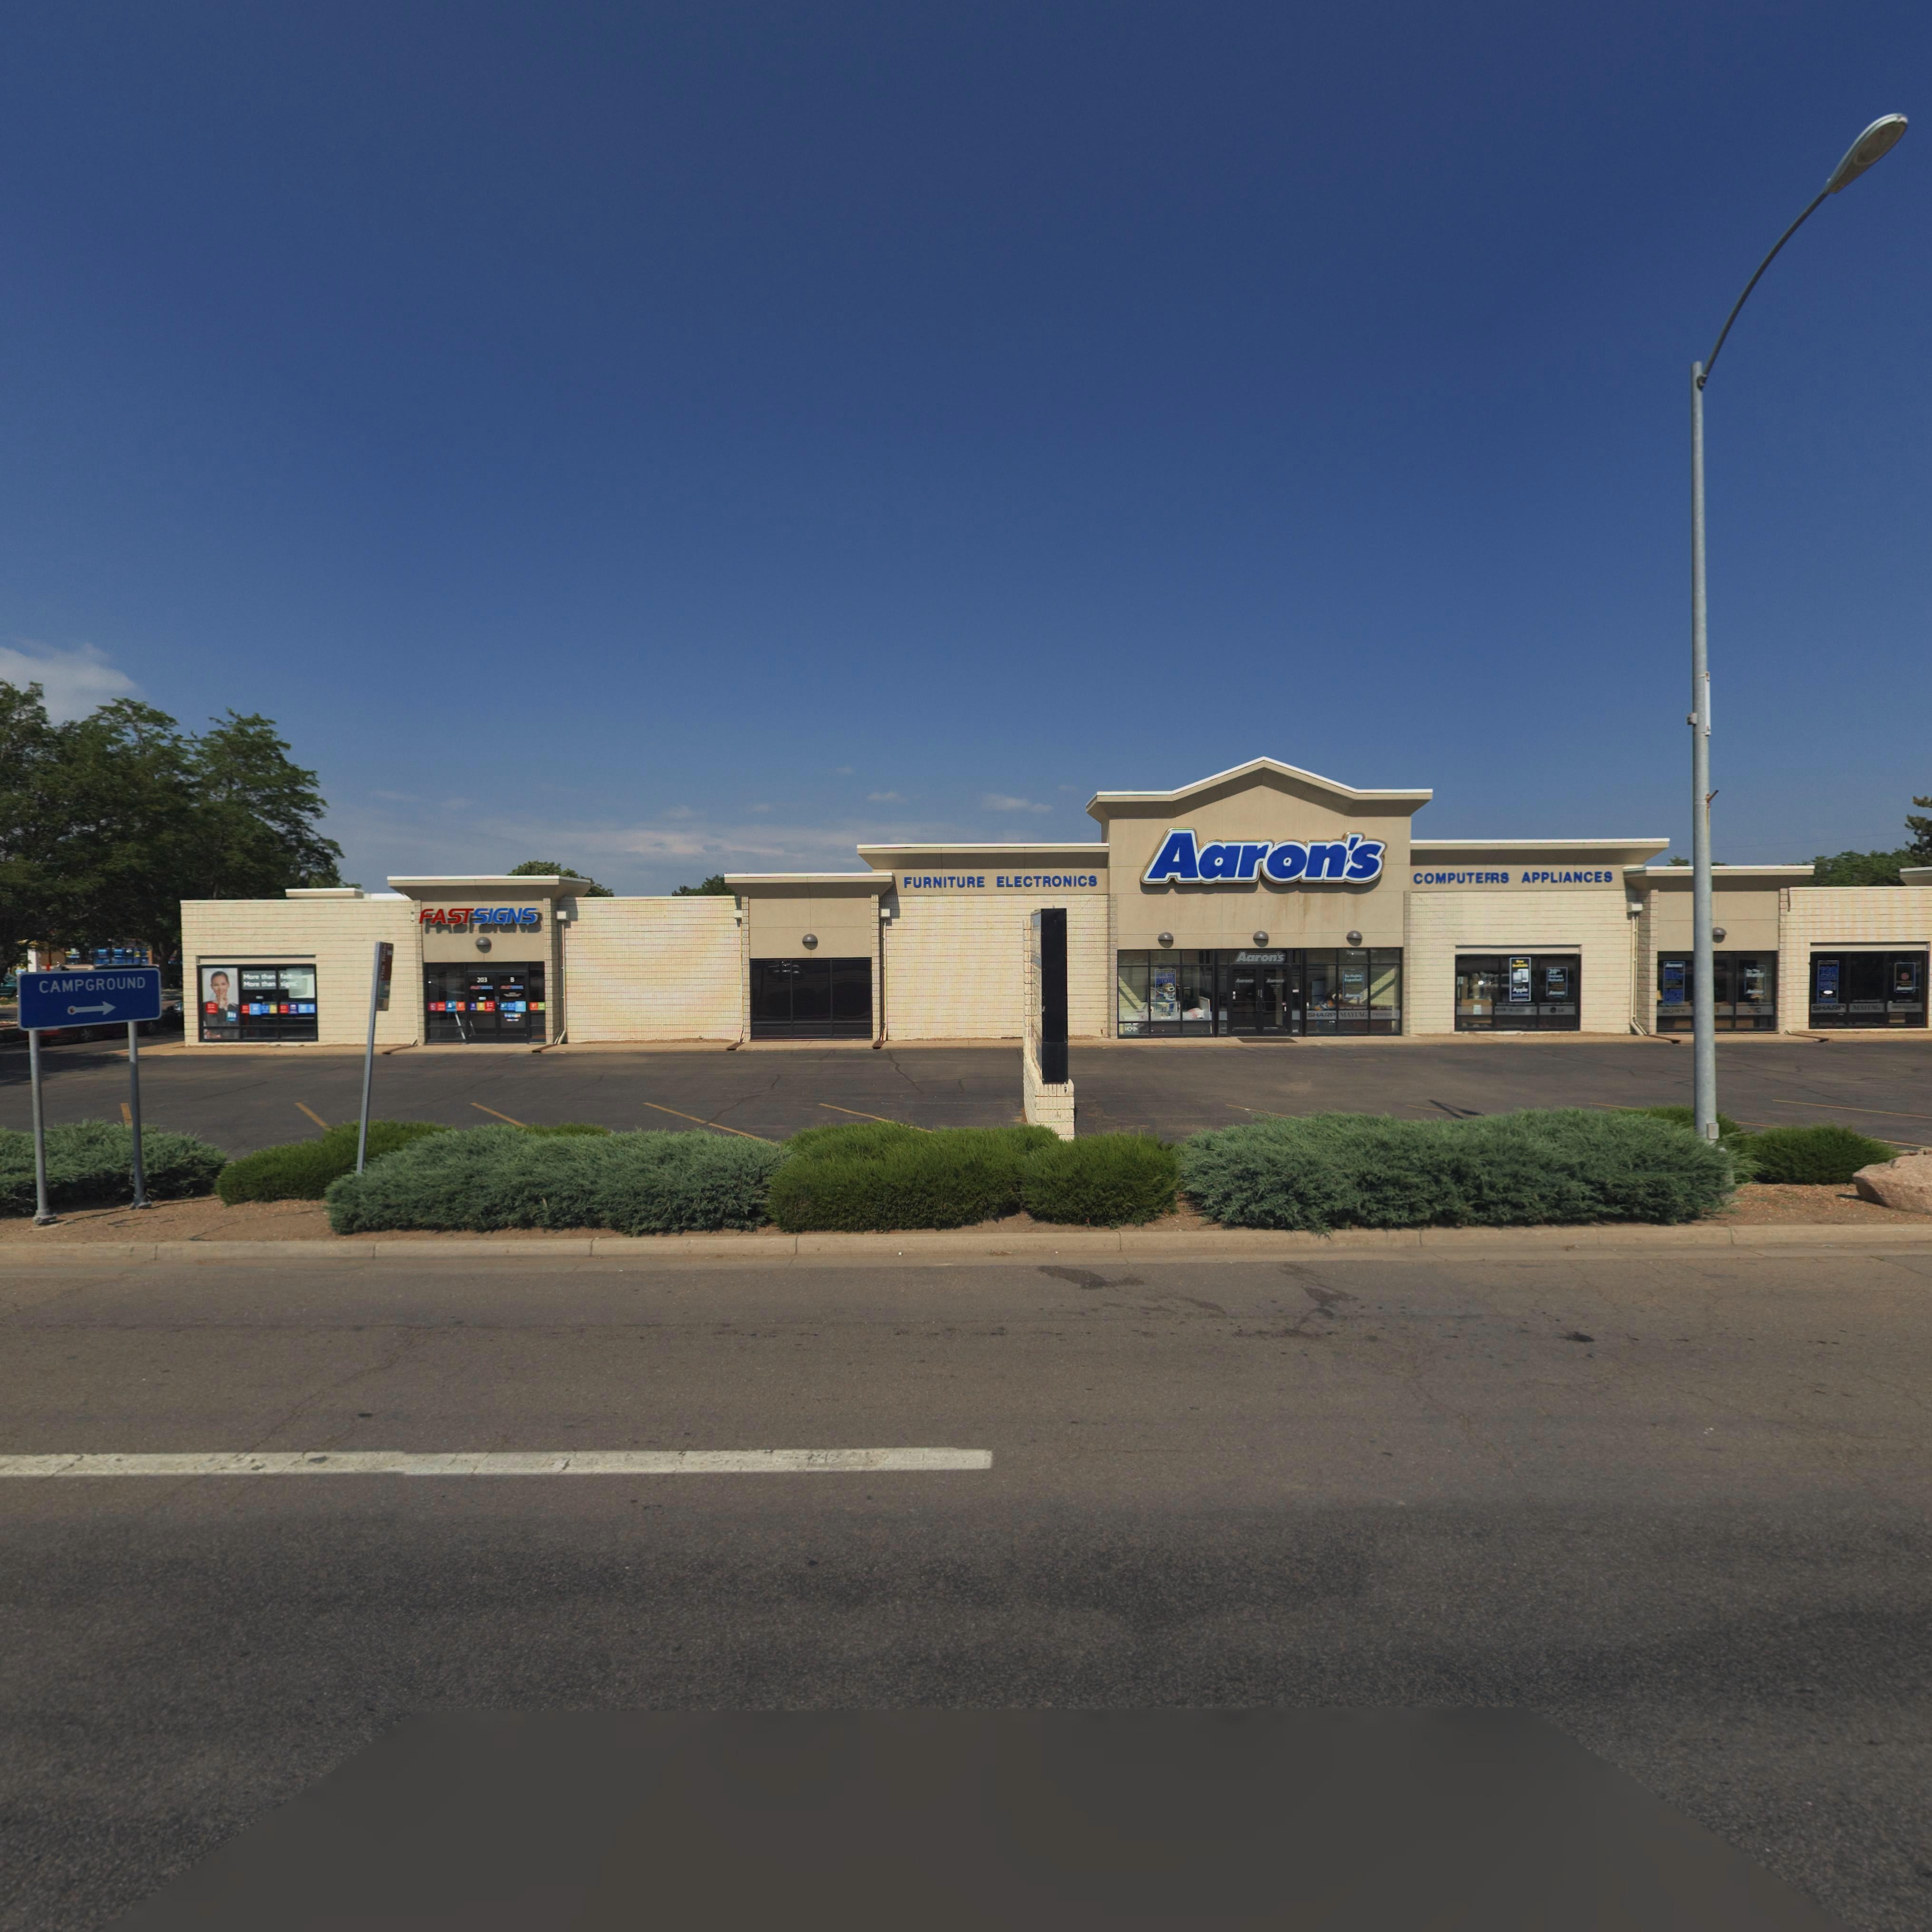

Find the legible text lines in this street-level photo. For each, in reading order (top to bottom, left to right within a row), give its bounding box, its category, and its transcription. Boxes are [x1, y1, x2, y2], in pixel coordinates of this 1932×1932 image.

[1138, 826, 1388, 885] BusinessName: Aaron's
[418, 907, 539, 924] BusinessName: FAST SIGNS
[1235, 951, 1285, 962] BusinessName: Aaron's
[1664, 962, 1683, 967] BusinessName: Aaron's
[476, 976, 488, 983] StreetNumber: 203
[510, 976, 515, 983] SecondaryUnitDesignator: B
[1235, 977, 1254, 983] BusinessName: Aaron's
[1266, 978, 1284, 983] BusinessName: Aaron's
[469, 985, 493, 989] BusinessName: FAST SIGNS
[500, 985, 523, 989] BusinessName: FAST SIGNS
[1895, 985, 1913, 990] BusinessName: Aaron's
[1345, 992, 1362, 997] BusinessName: Aaron's
[1548, 989, 1565, 995] BusinessName: Aaron's